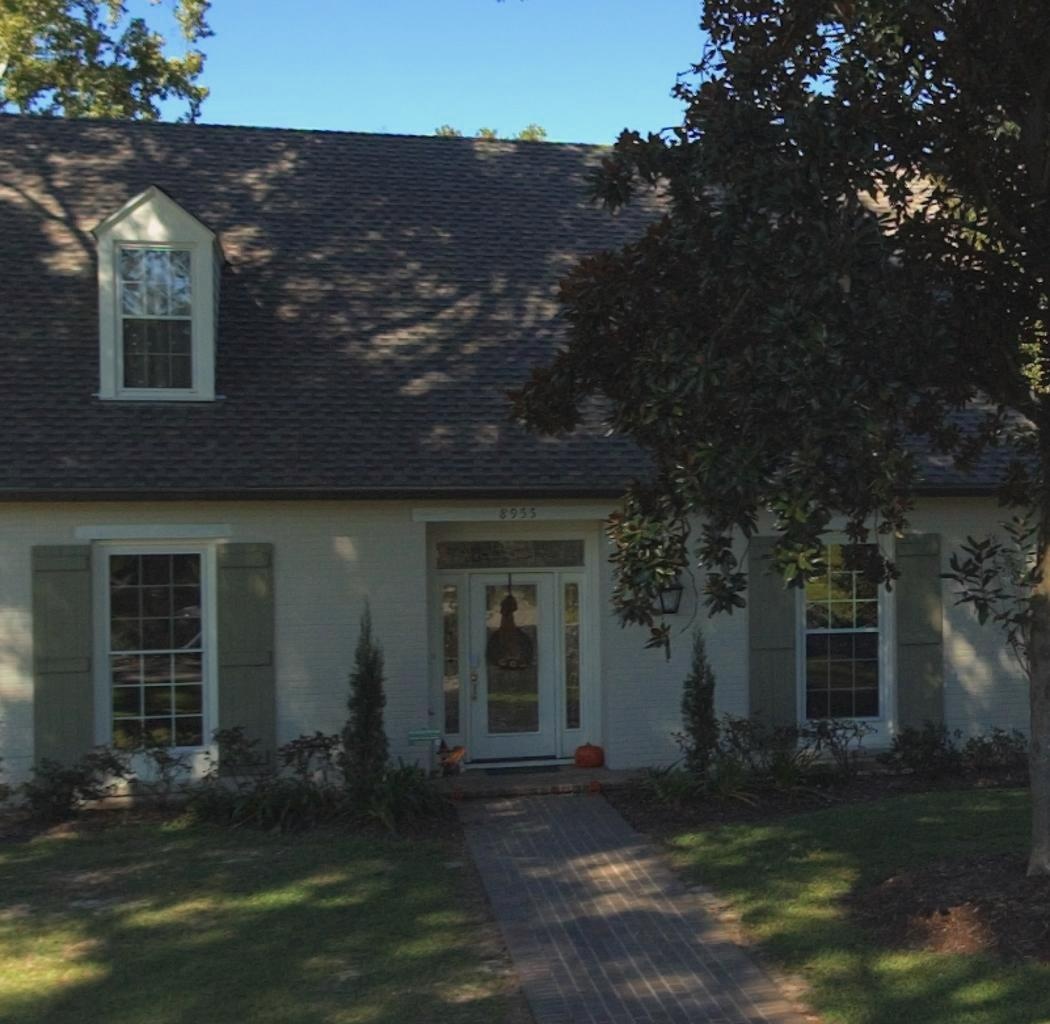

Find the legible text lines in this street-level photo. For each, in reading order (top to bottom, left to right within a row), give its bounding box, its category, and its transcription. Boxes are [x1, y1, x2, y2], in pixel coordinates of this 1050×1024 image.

[498, 506, 538, 520] StreetNumber: 8955